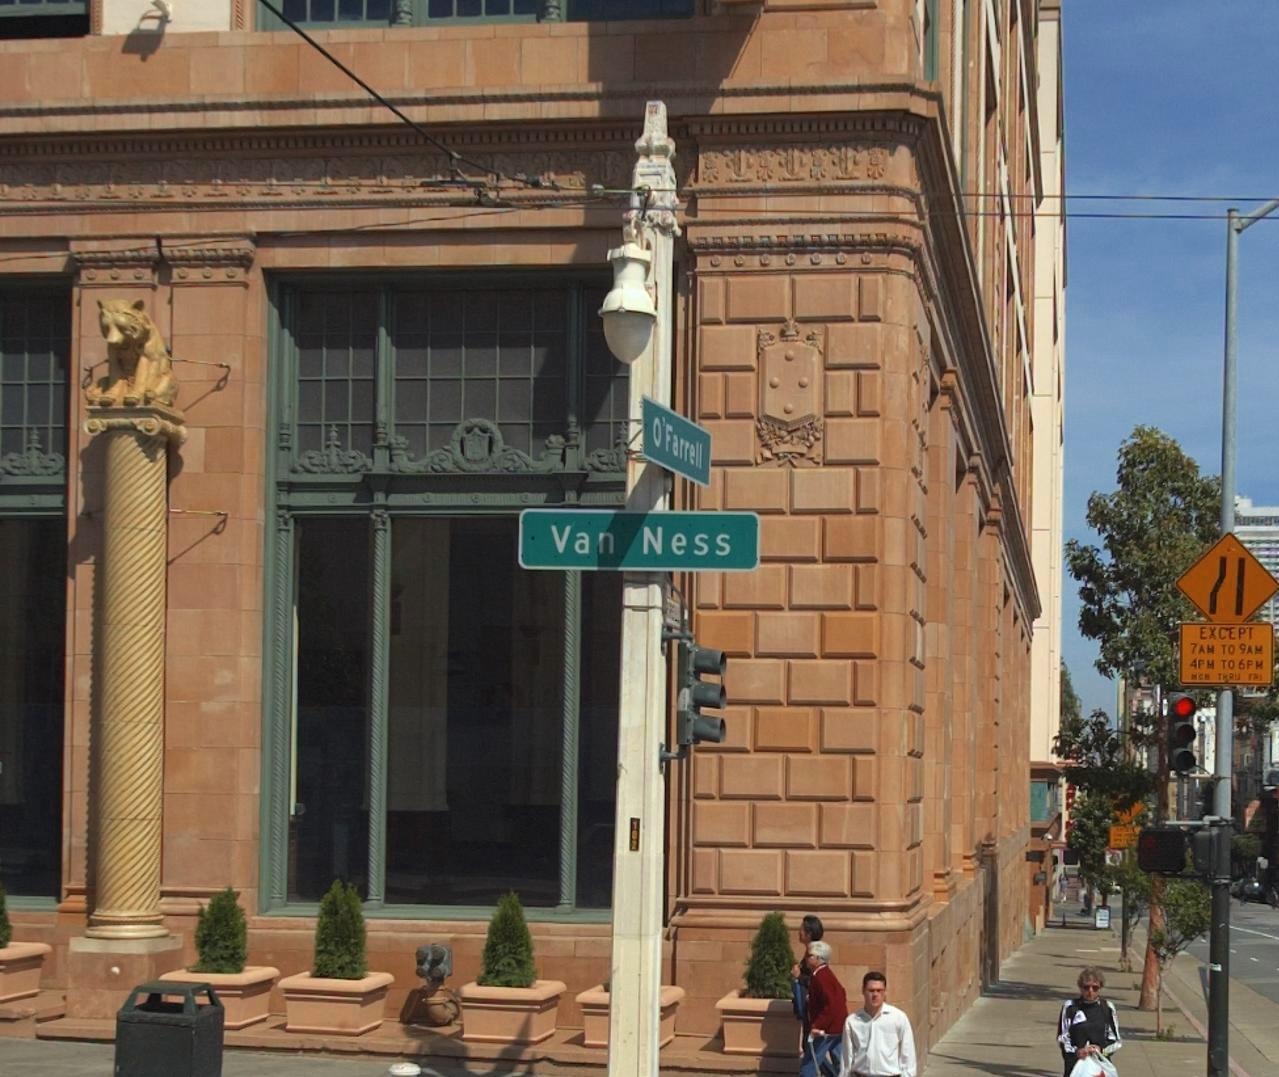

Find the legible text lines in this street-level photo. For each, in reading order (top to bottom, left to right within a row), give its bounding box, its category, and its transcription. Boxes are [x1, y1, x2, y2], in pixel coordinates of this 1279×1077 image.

[650, 411, 706, 476] StreetName: O'Farrell
[545, 522, 735, 560] StreetName: Van Ness
[1197, 622, 1257, 643] None: EXCEPT
[1187, 639, 1268, 658] None: 7AM TO 9AM
[1187, 655, 1267, 673] None: 4PM TO 6PM
[1188, 670, 1266, 684] None: MON THRU FRI